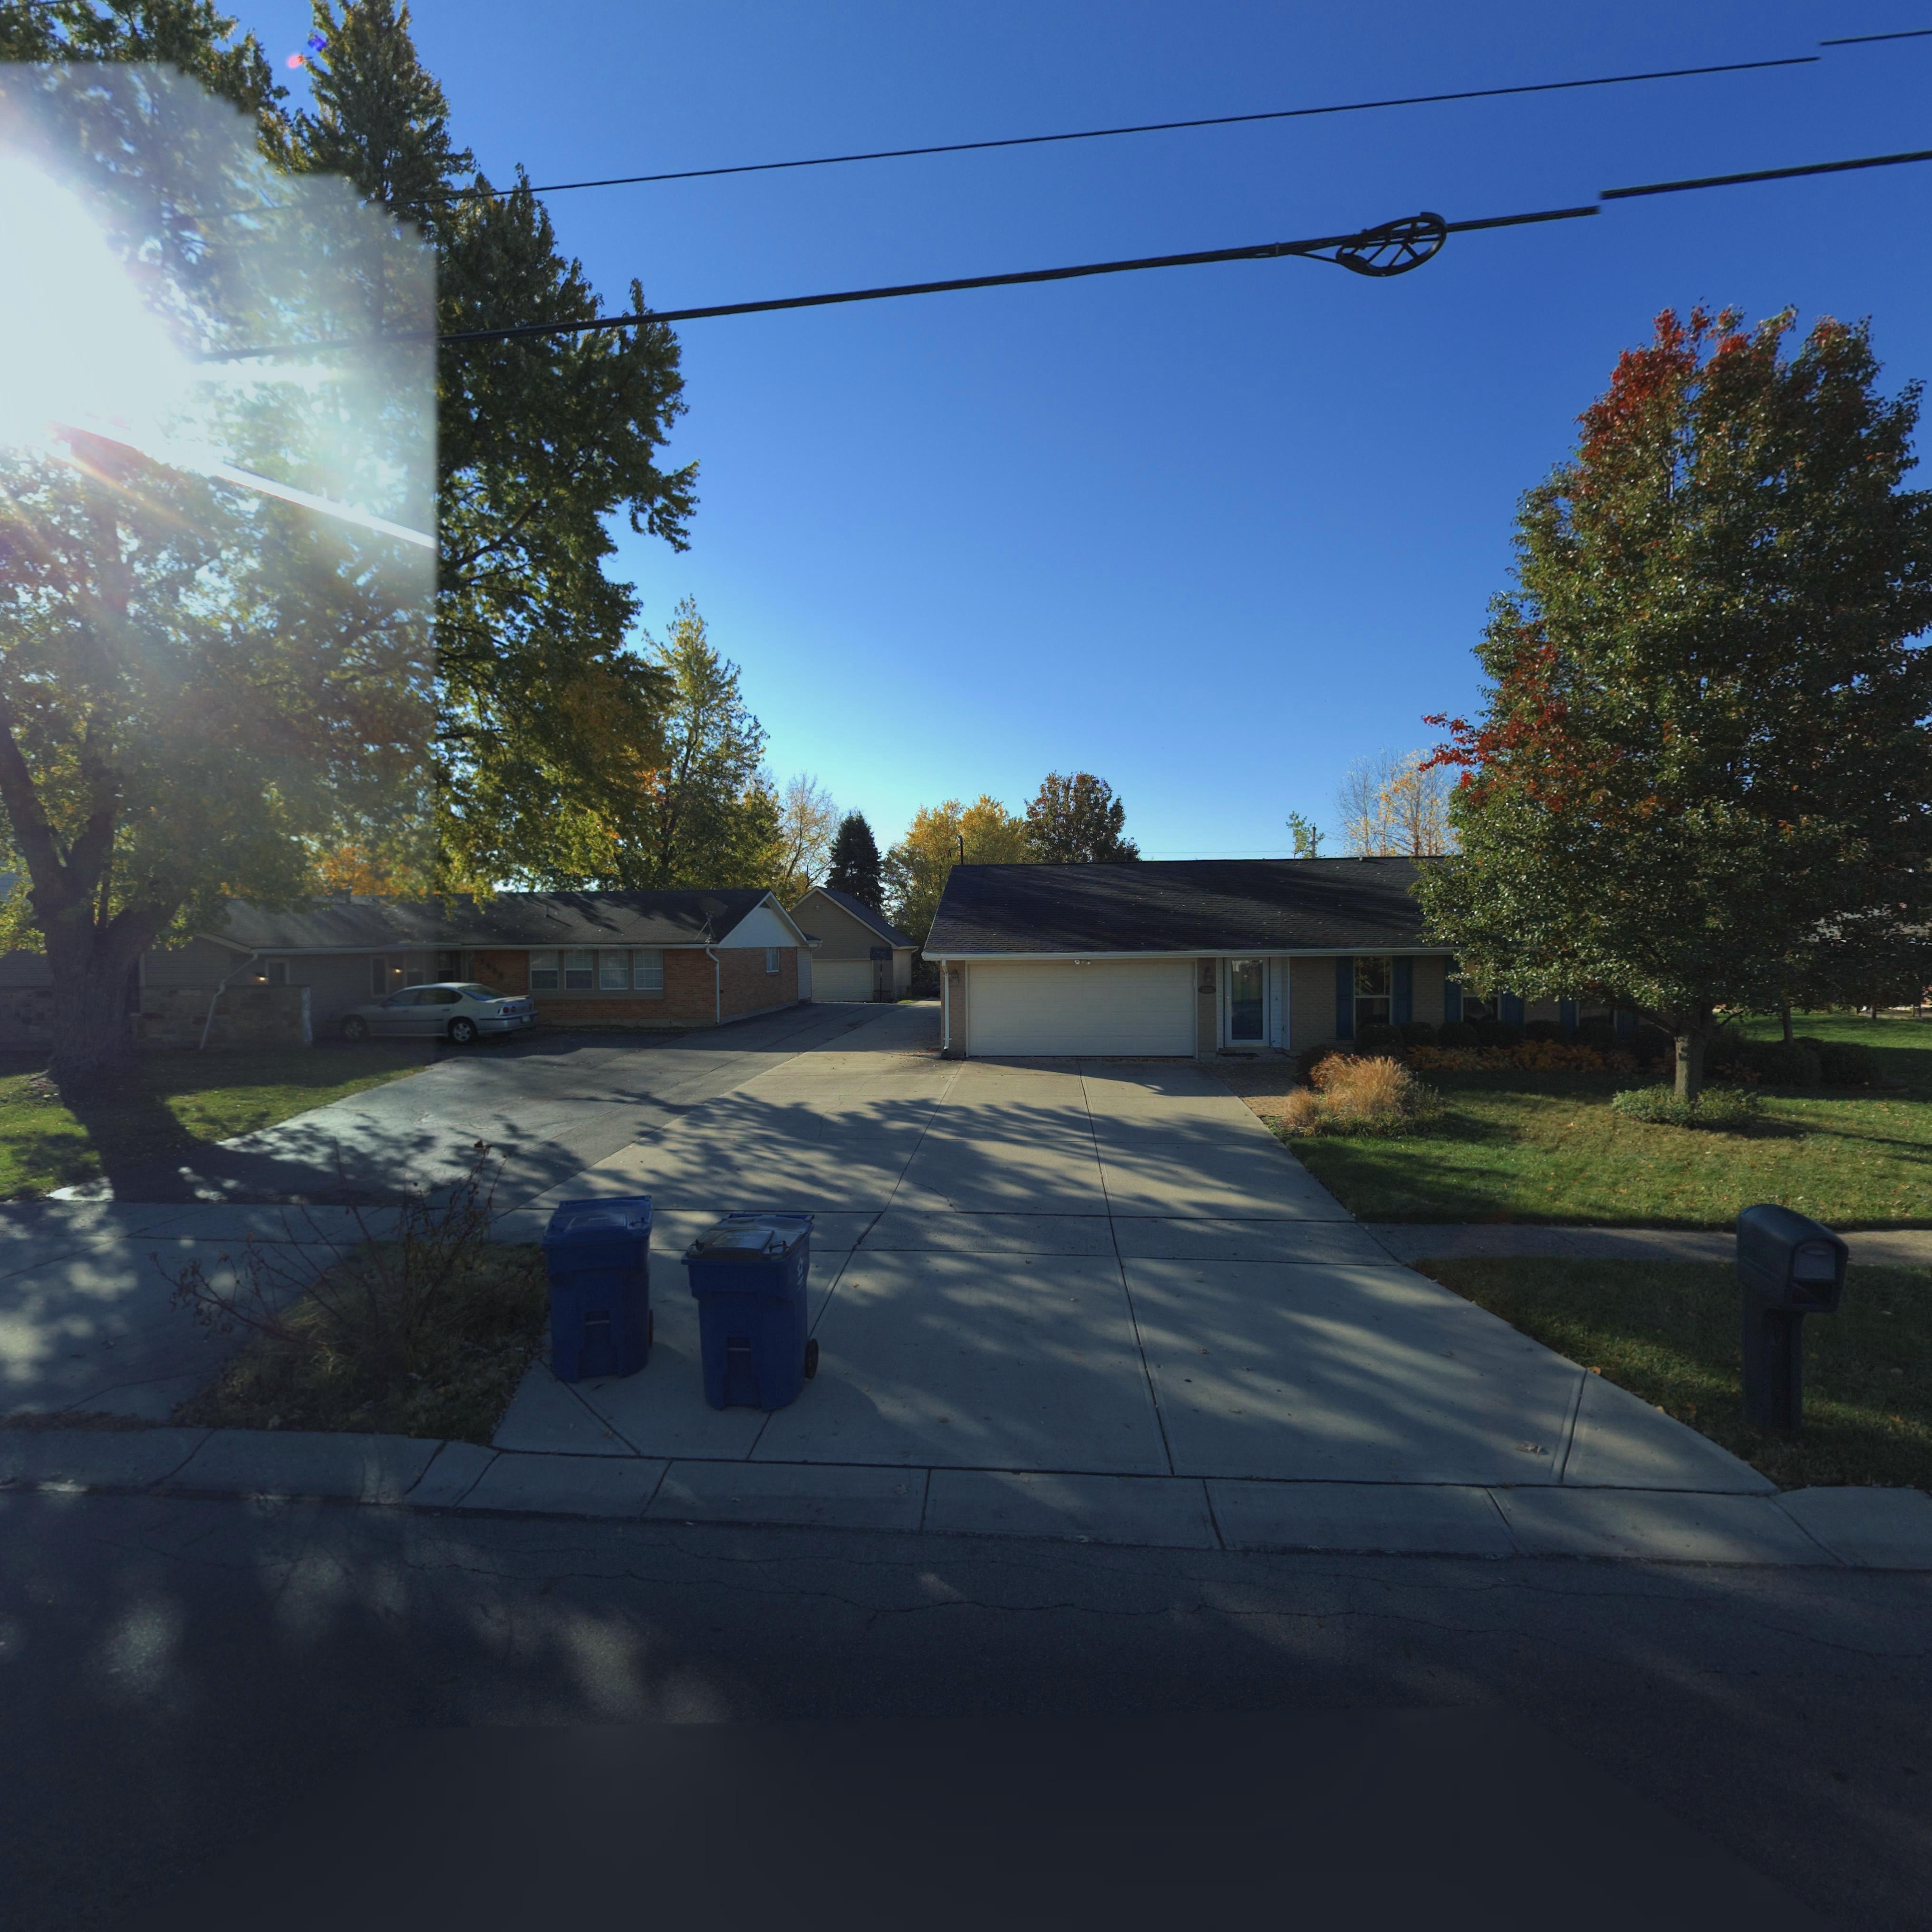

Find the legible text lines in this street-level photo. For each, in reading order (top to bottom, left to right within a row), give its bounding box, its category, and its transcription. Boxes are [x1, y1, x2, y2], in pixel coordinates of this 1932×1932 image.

[479, 957, 504, 981] StreetNumber: 5*2*
[1201, 986, 1213, 993] StreetNumber: 591*